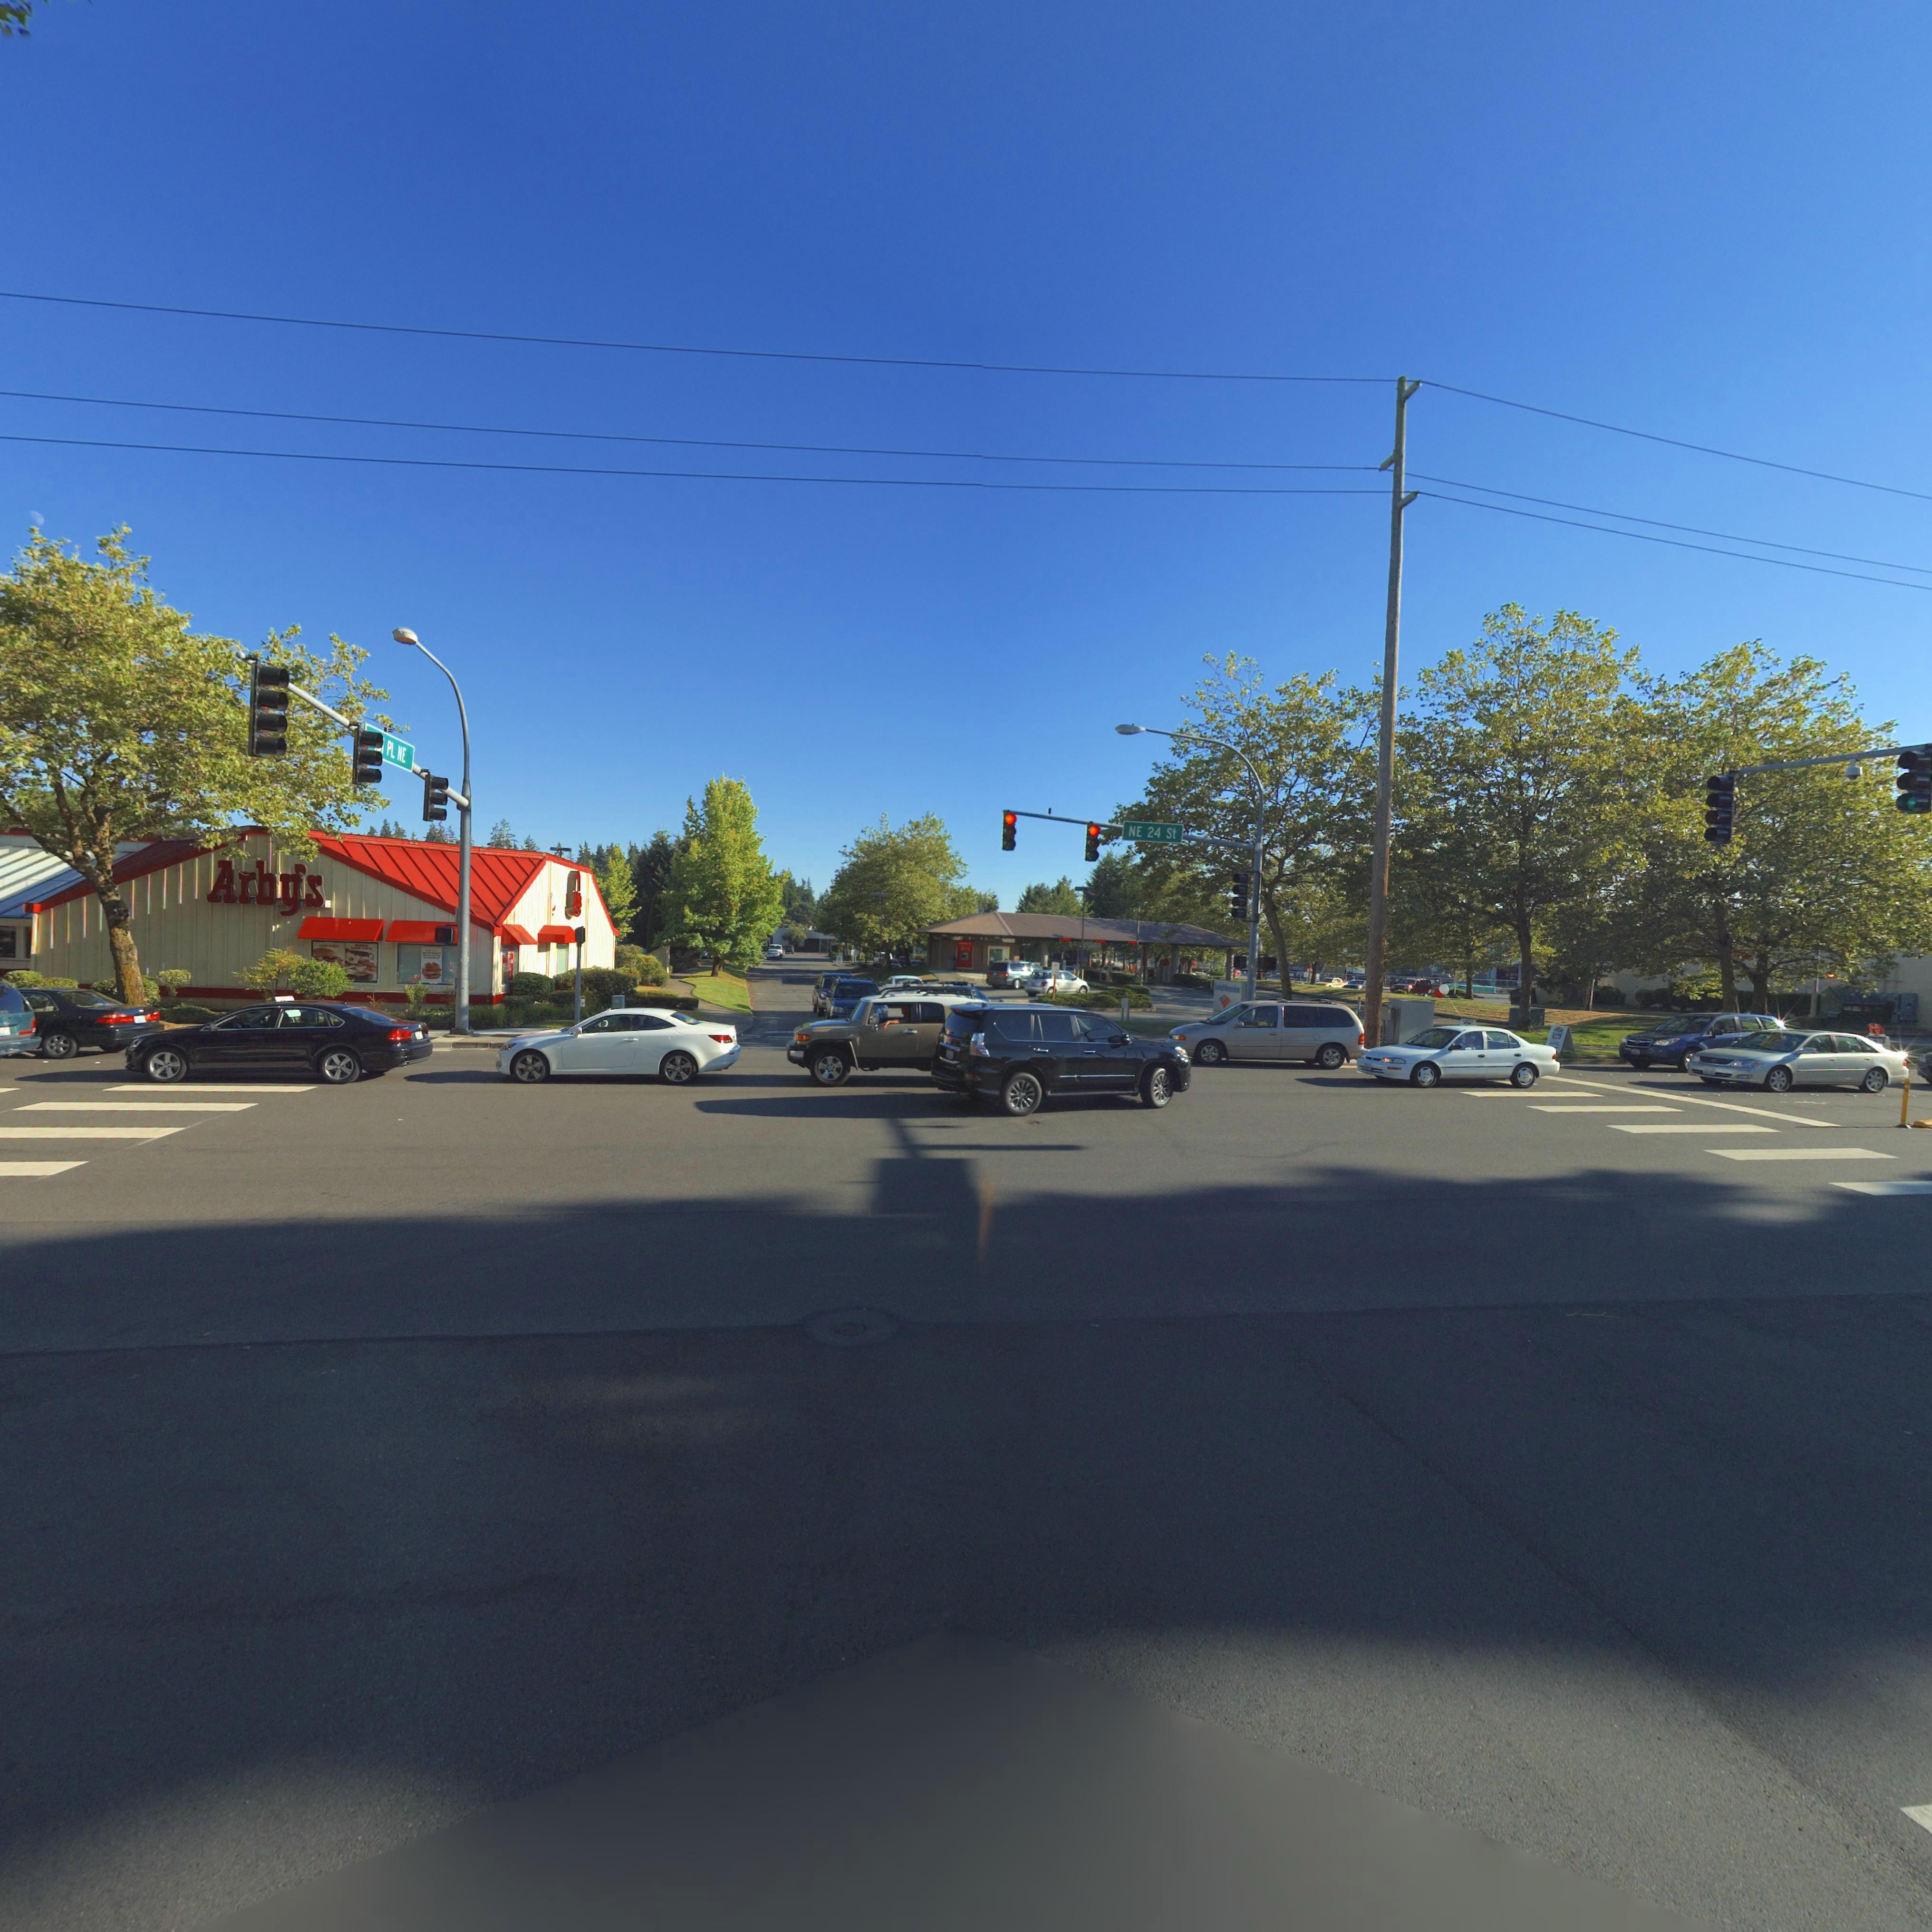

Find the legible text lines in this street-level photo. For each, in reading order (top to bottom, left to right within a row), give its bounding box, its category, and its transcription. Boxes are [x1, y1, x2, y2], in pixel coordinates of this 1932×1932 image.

[385, 738, 408, 764] StreetName: PL NE
[1127, 824, 1179, 840] StreetName: NE 24 St
[203, 857, 327, 919] BusinessName: Arby*s
[1222, 982, 1242, 995] BusinessName: America